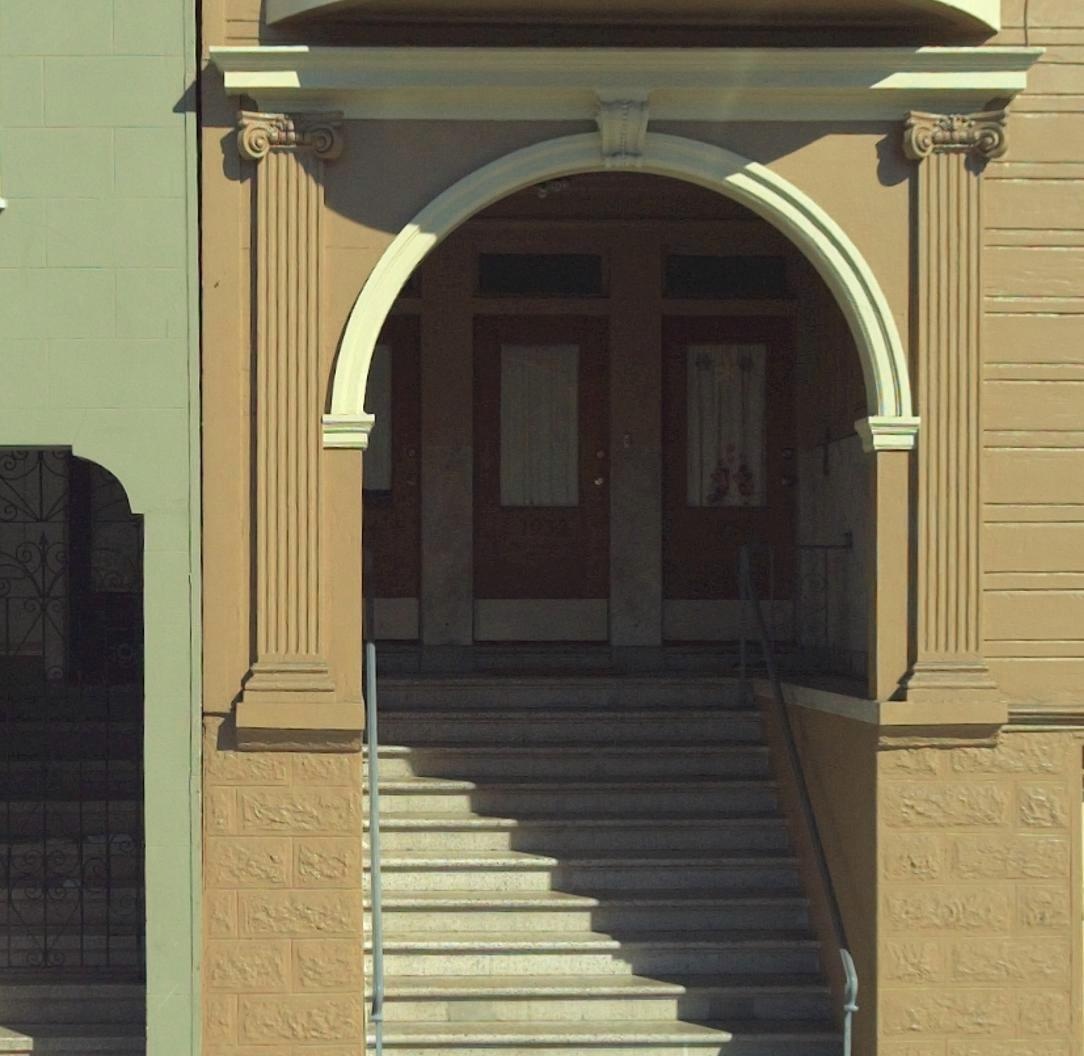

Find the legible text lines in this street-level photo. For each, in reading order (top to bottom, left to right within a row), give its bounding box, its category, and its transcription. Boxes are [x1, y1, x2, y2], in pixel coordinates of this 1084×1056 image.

[520, 516, 570, 536] StreetNumber: 1932